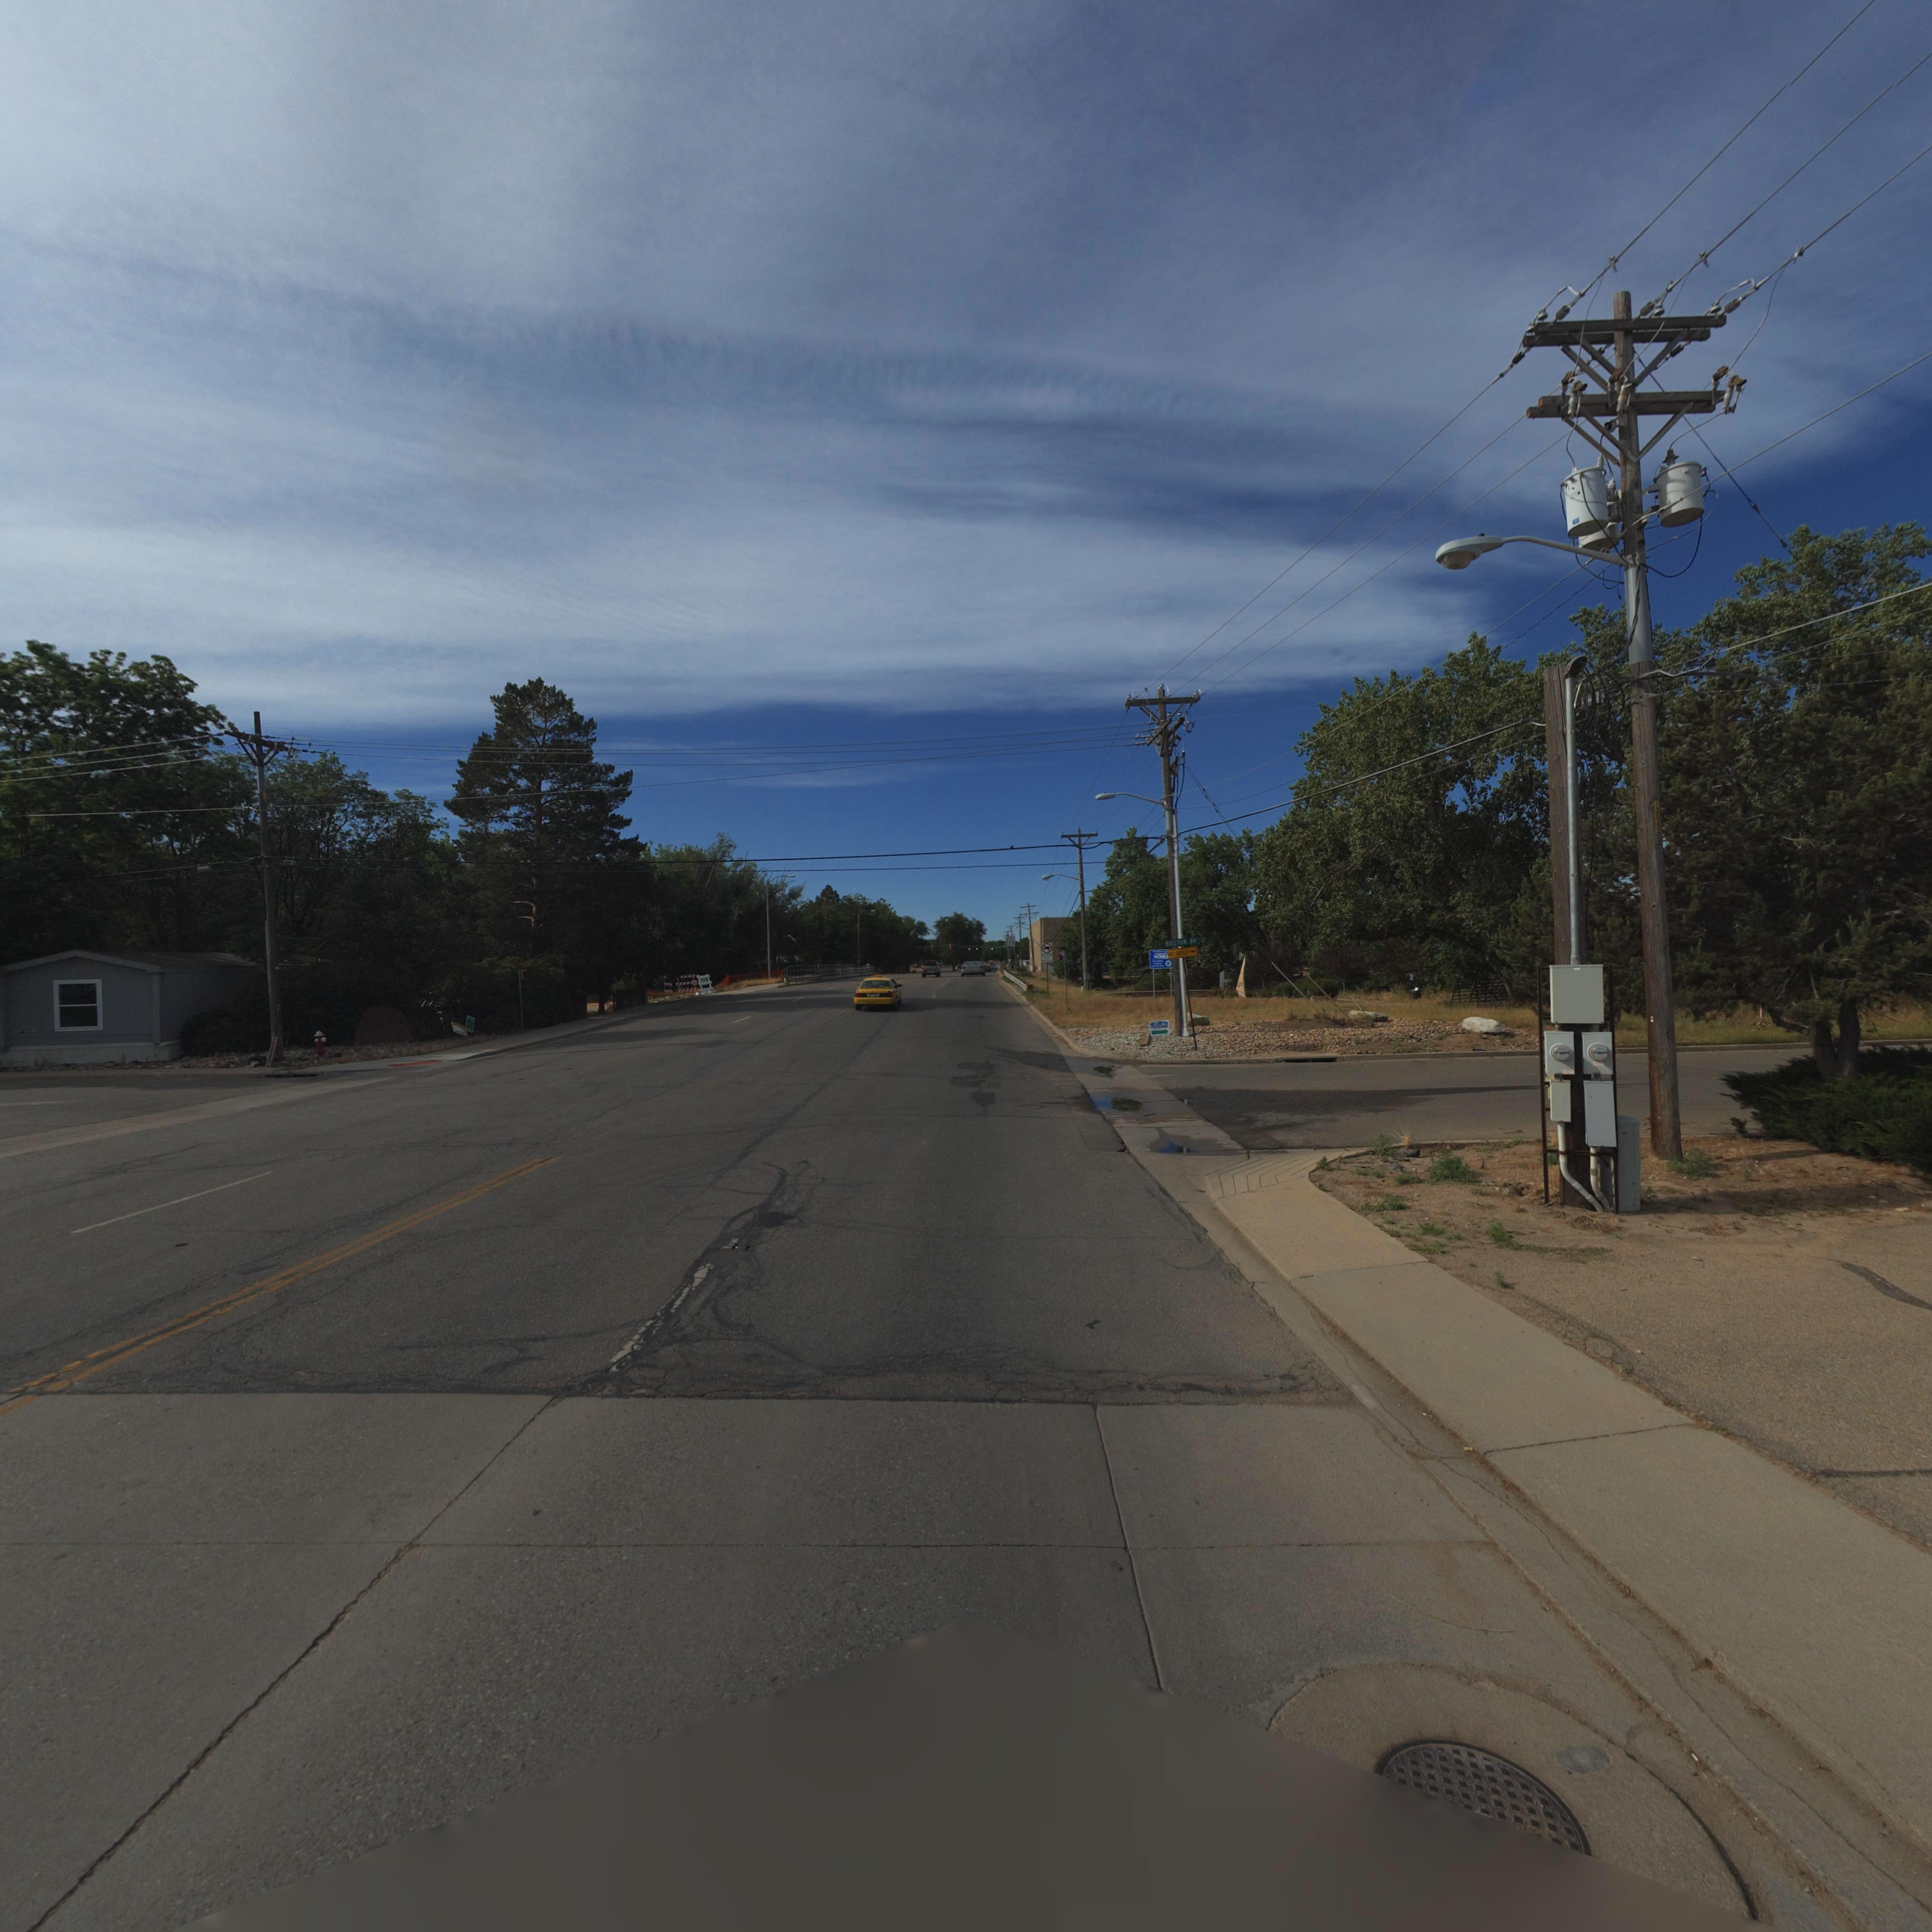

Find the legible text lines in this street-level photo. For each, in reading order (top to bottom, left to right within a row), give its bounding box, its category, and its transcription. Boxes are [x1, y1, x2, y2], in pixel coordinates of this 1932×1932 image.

[1165, 937, 1197, 947] StreetName: BOSTON AV